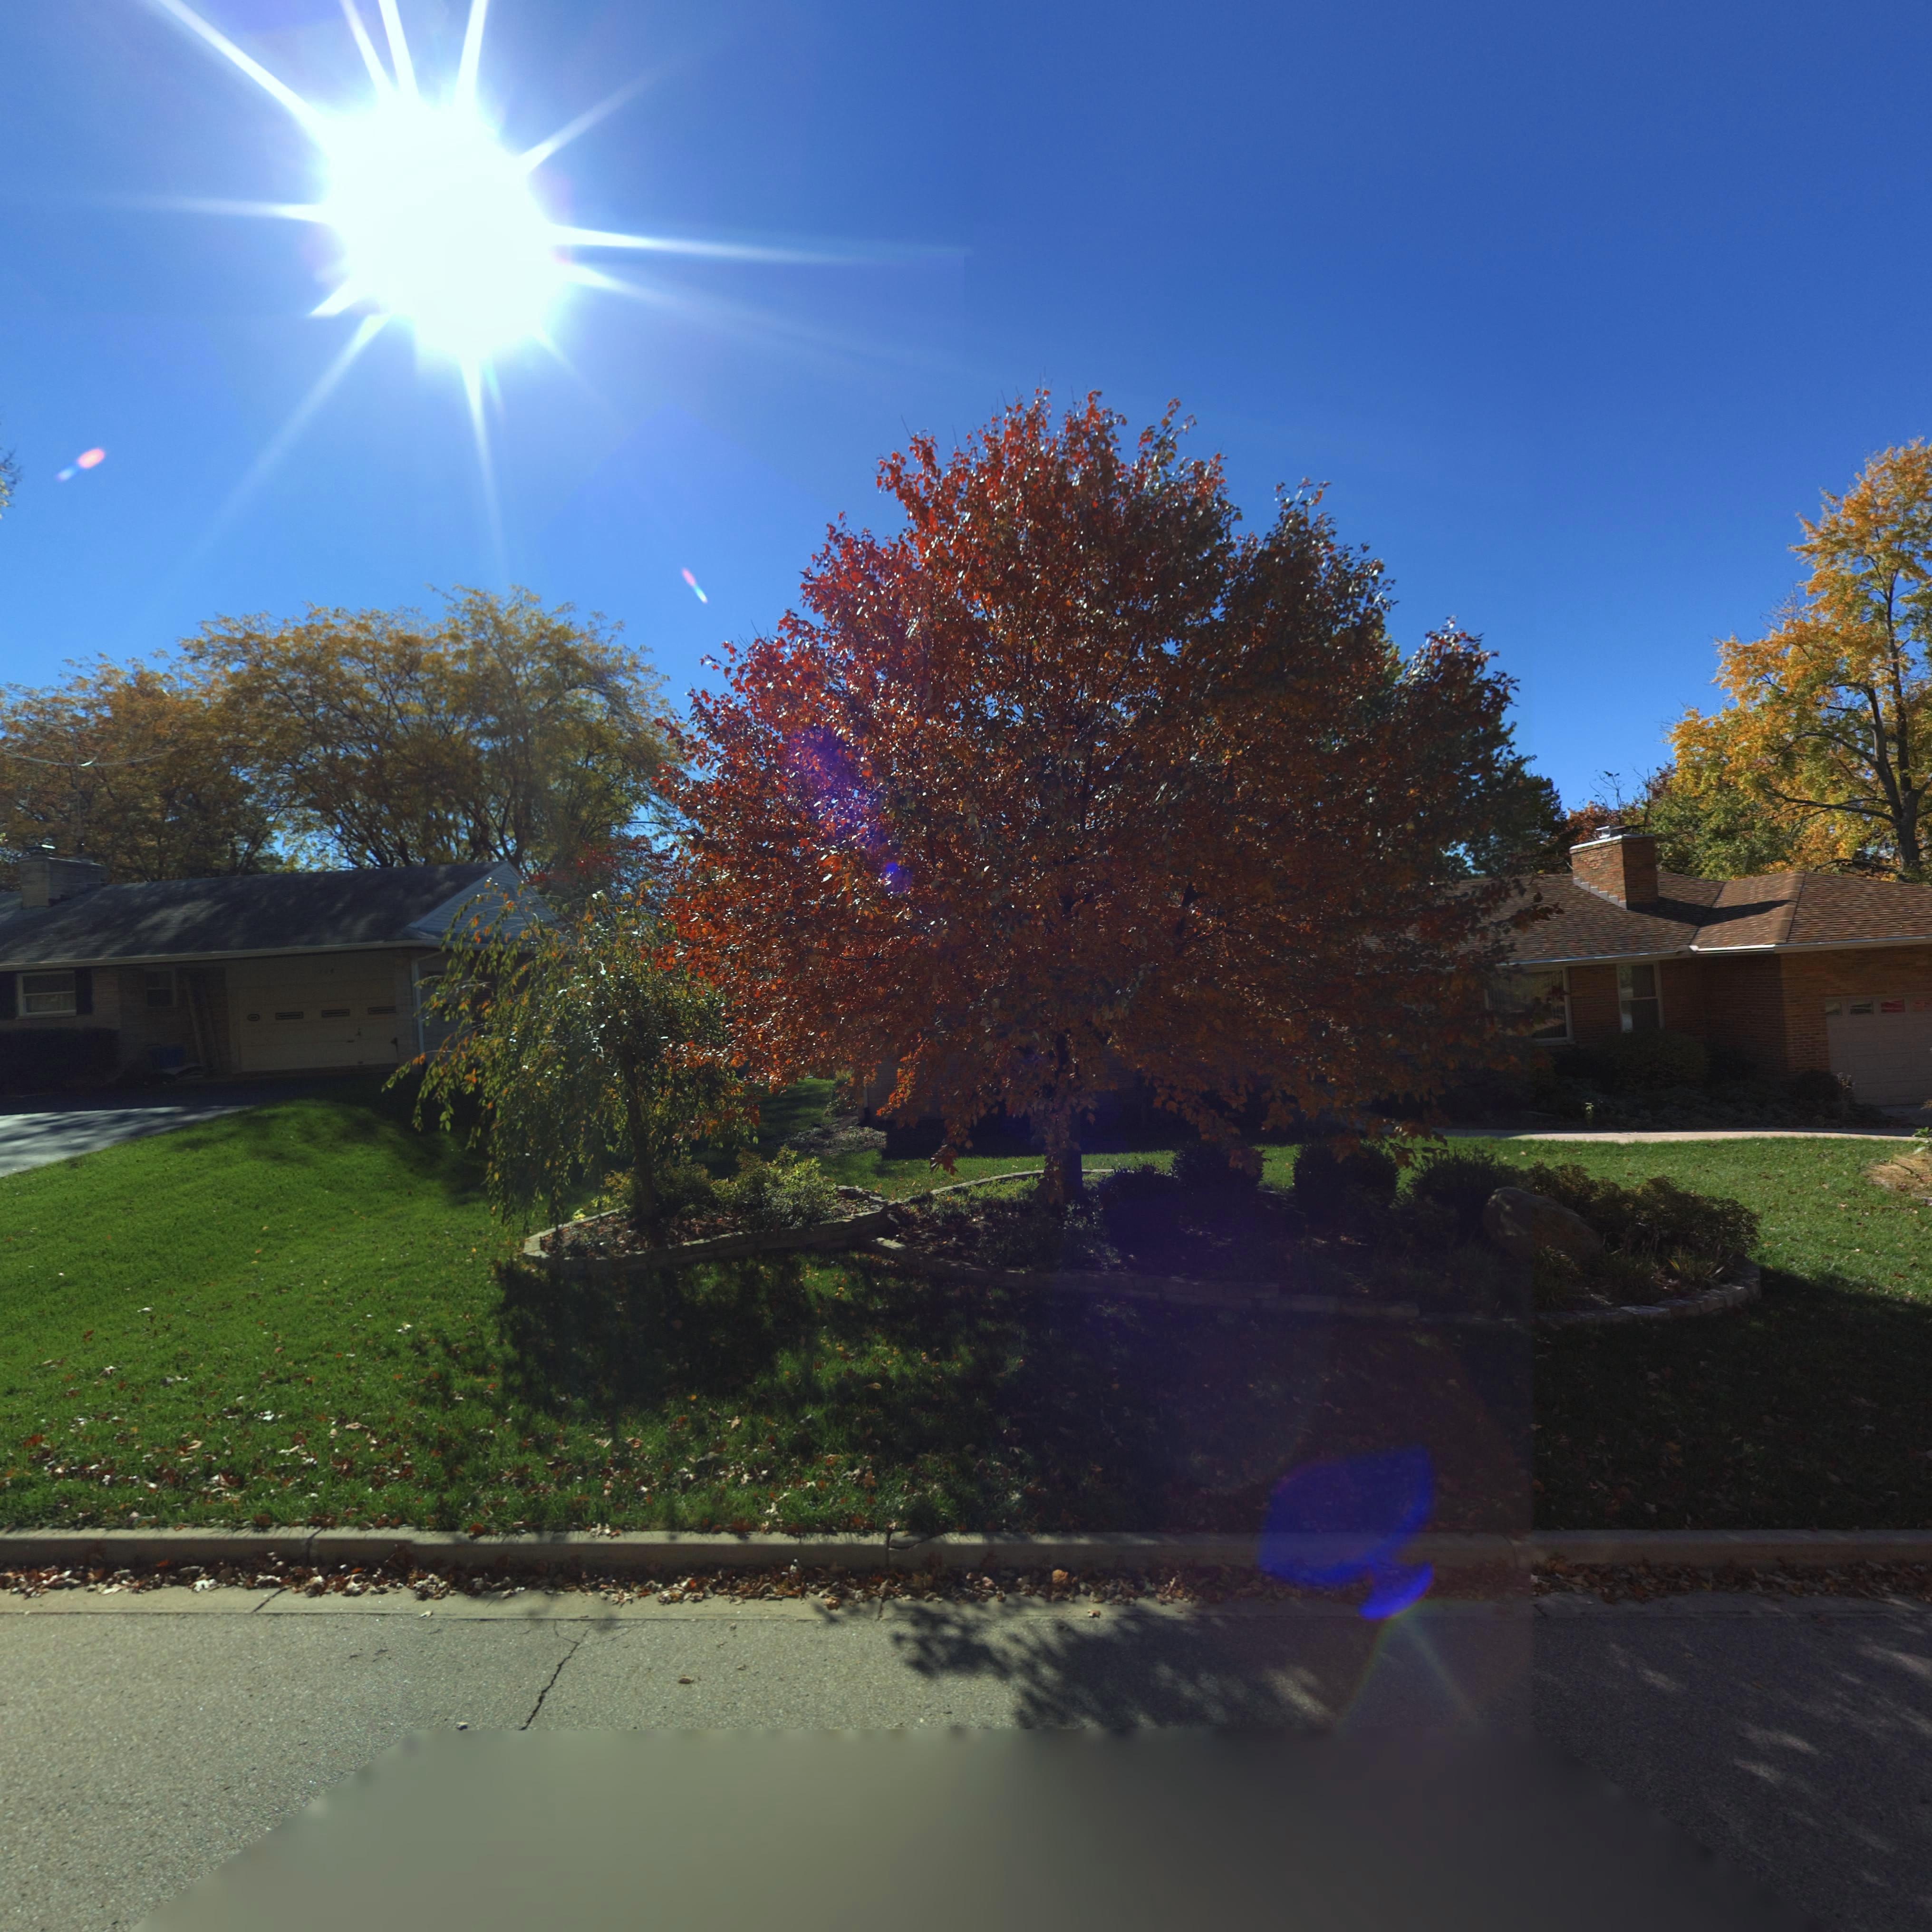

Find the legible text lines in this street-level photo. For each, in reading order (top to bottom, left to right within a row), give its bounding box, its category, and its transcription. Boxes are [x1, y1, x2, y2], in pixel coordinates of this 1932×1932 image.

[317, 967, 336, 976] StreetNumber: 1*4